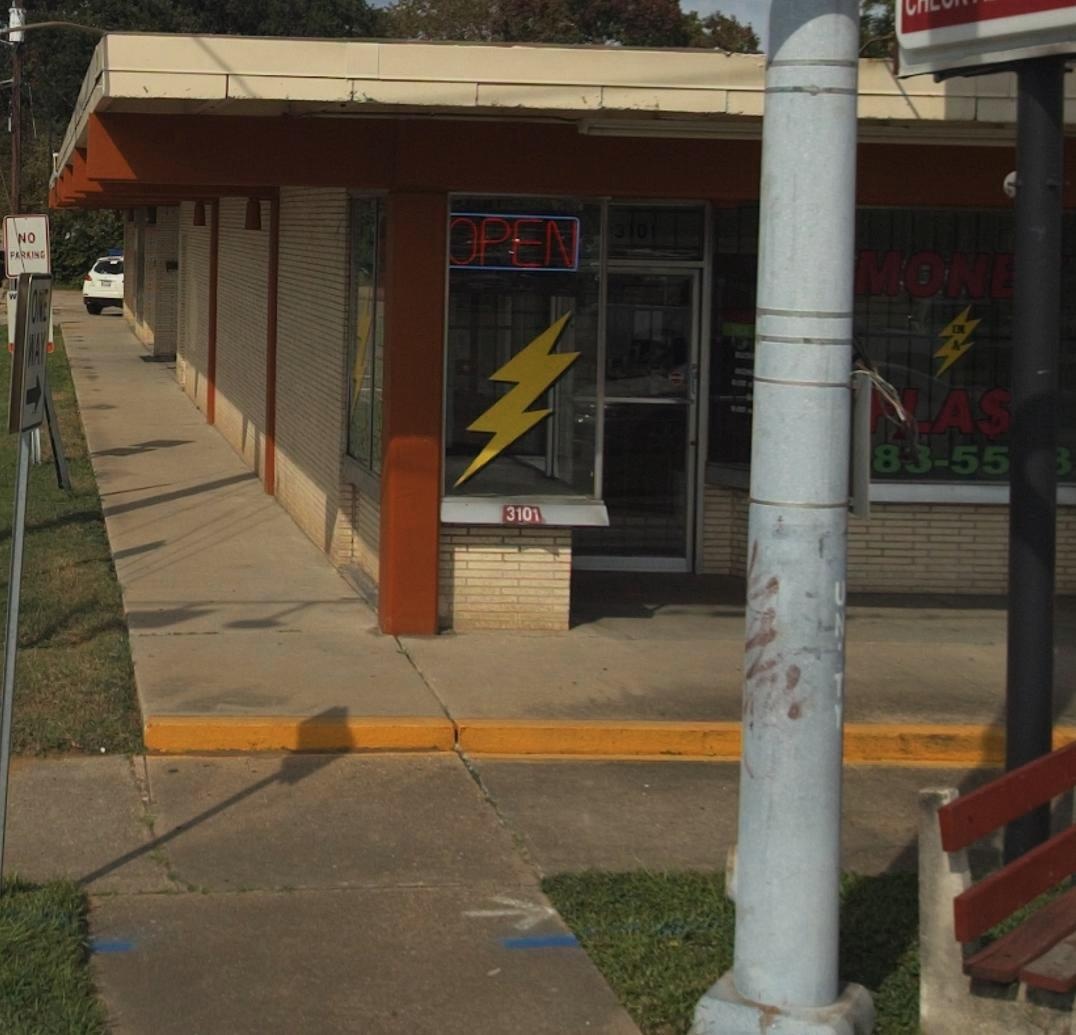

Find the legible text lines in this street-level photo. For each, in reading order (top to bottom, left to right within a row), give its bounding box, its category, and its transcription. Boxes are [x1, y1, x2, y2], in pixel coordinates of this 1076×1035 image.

[15, 231, 37, 244] None: NO
[8, 248, 45, 260] None: PARKING
[444, 213, 579, 272] None: OPEN
[611, 221, 658, 242] StreetNumber: 3101
[851, 245, 1028, 304] None: MON*
[7, 291, 19, 303] None: W
[29, 287, 50, 325] None: ONE
[25, 329, 48, 370] None: WAY
[949, 338, 962, 351] None: A
[949, 322, 968, 335] None: IN
[860, 383, 1015, 438] None: **A$
[870, 440, 1075, 477] None: 8*-55**
[505, 504, 541, 524] StreetNumber: 3101
[831, 576, 845, 732] None: UNITY